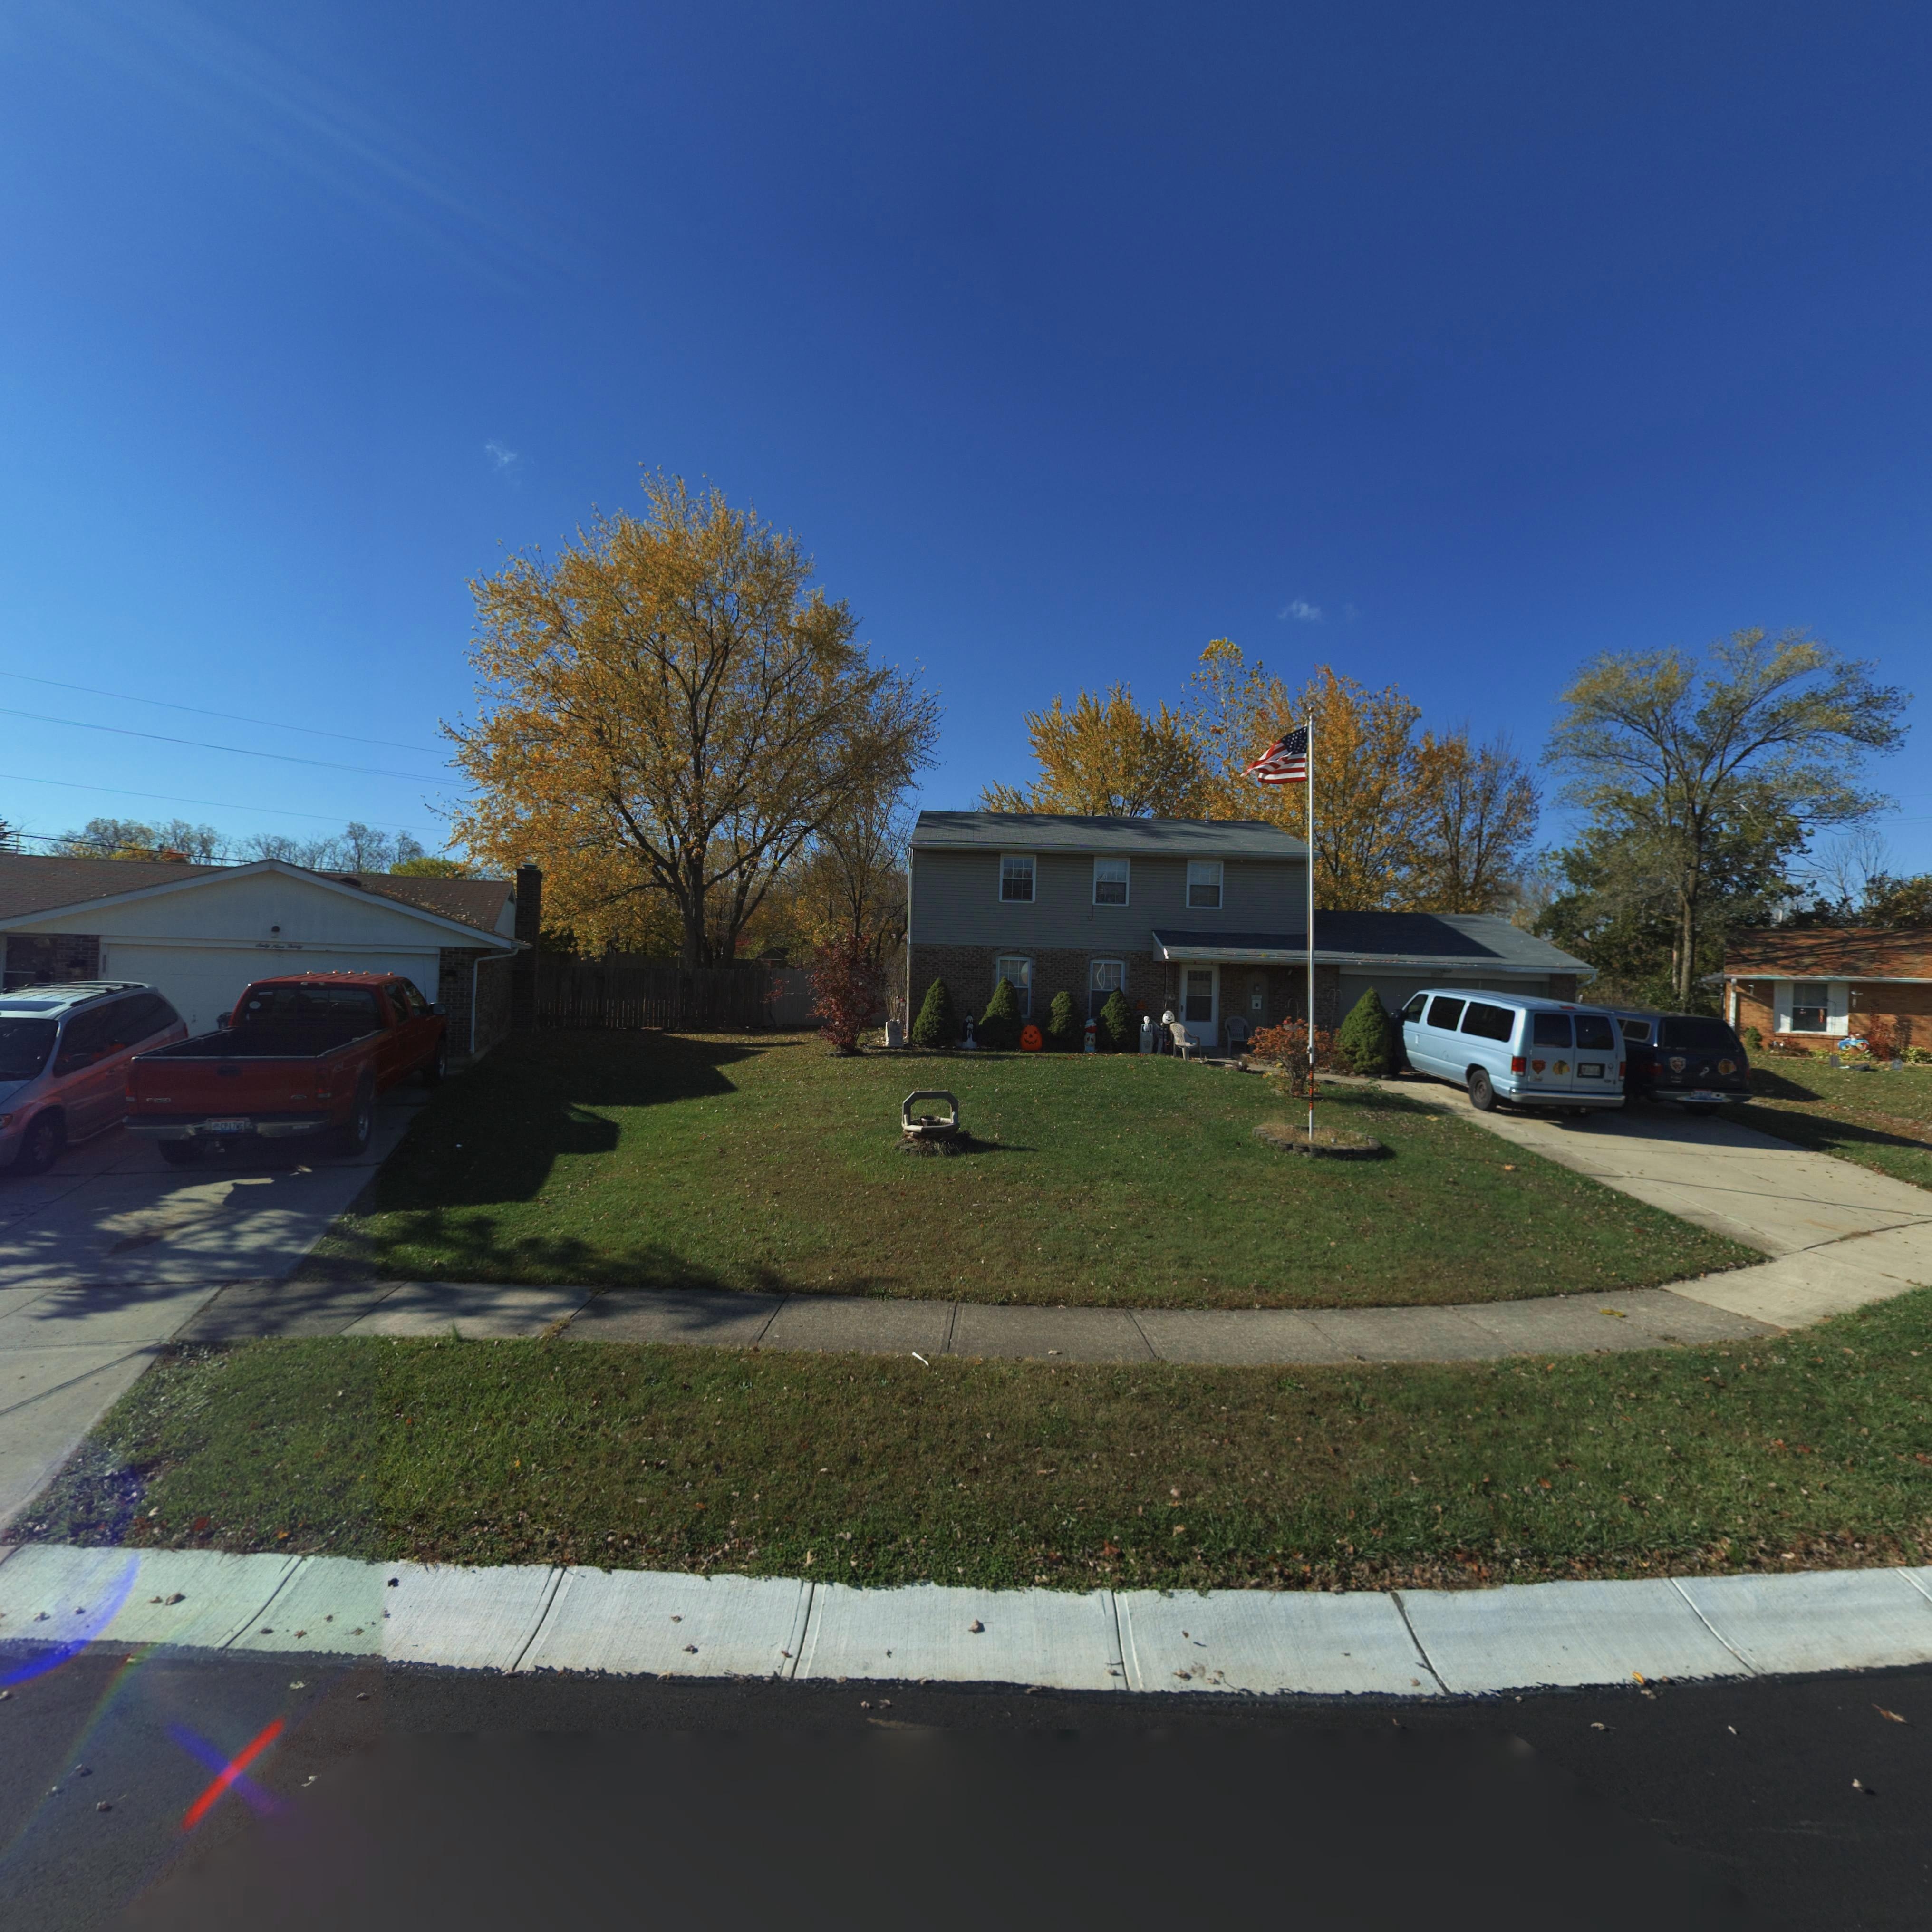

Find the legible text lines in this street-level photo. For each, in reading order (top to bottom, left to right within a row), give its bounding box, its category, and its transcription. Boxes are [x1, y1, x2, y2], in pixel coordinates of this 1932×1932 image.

[254, 942, 305, 951] StreetNumber: Sixty Nine Thirty
[1430, 971, 1444, 977] StreetNumber: 6*20